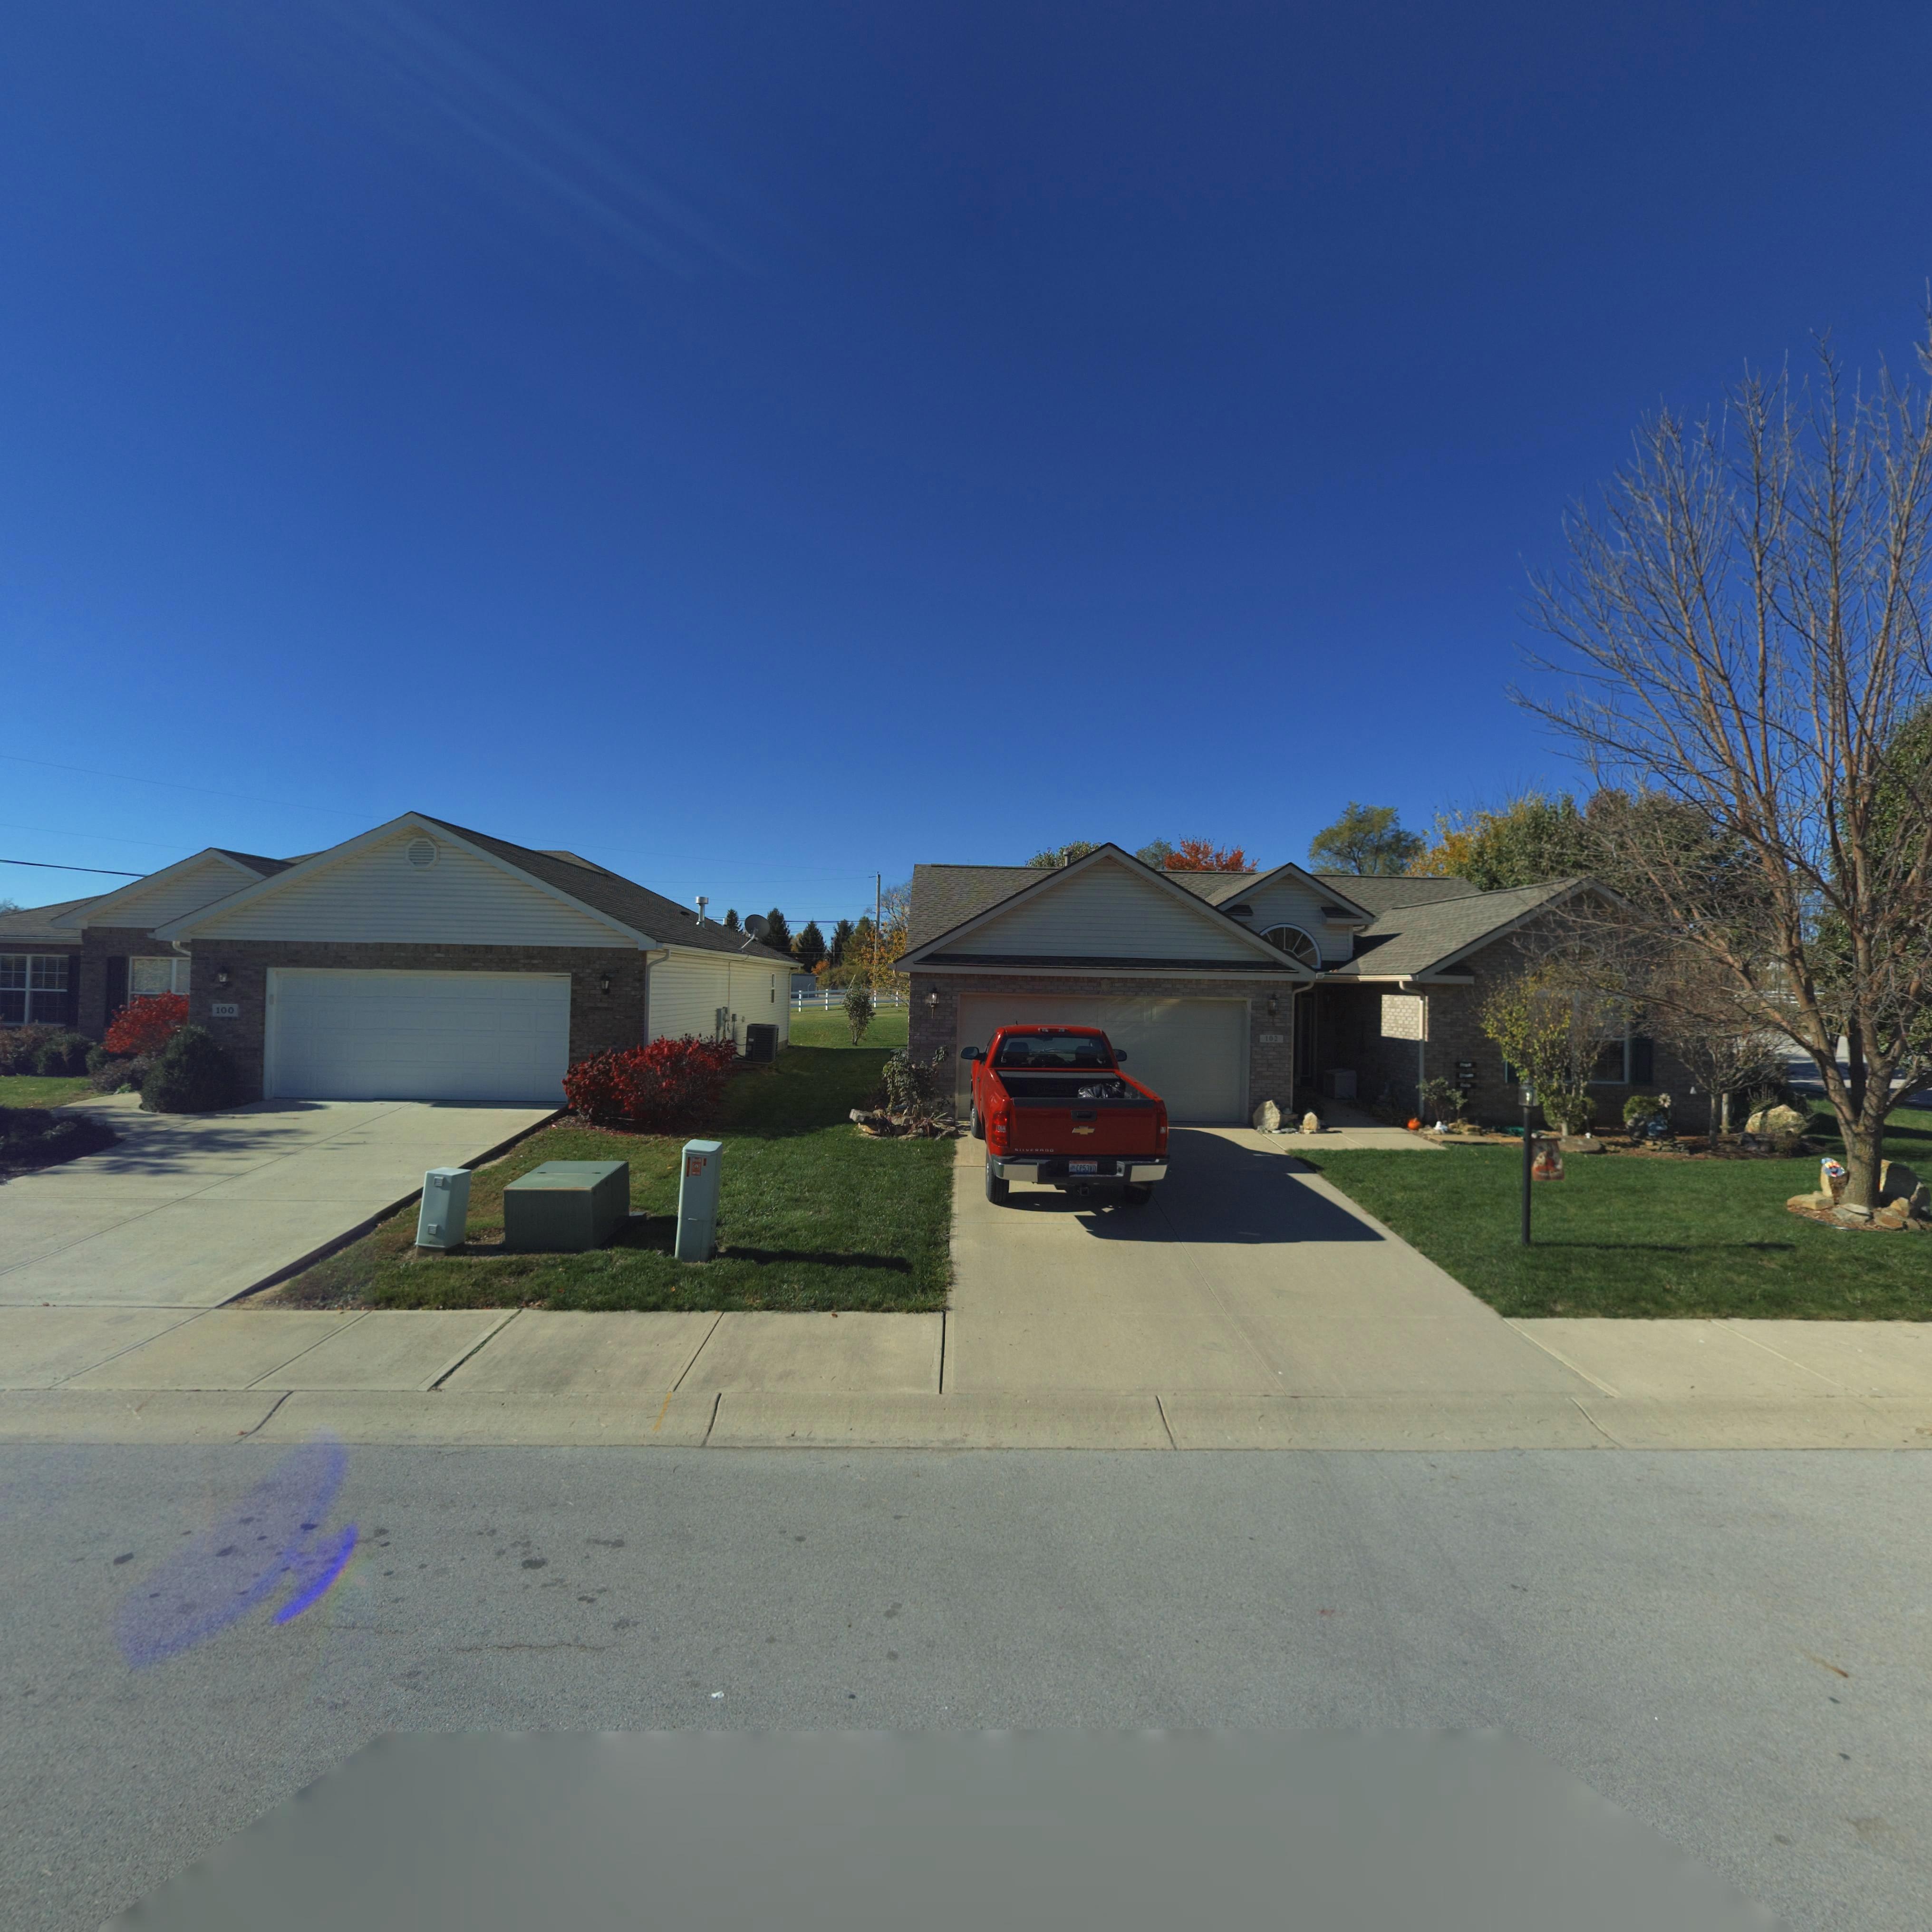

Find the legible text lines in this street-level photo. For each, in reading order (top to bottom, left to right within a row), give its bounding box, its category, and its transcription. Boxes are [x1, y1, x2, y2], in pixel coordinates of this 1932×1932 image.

[215, 1005, 235, 1015] StreetNumber: 100
[1265, 1034, 1279, 1043] StreetNumber: 102